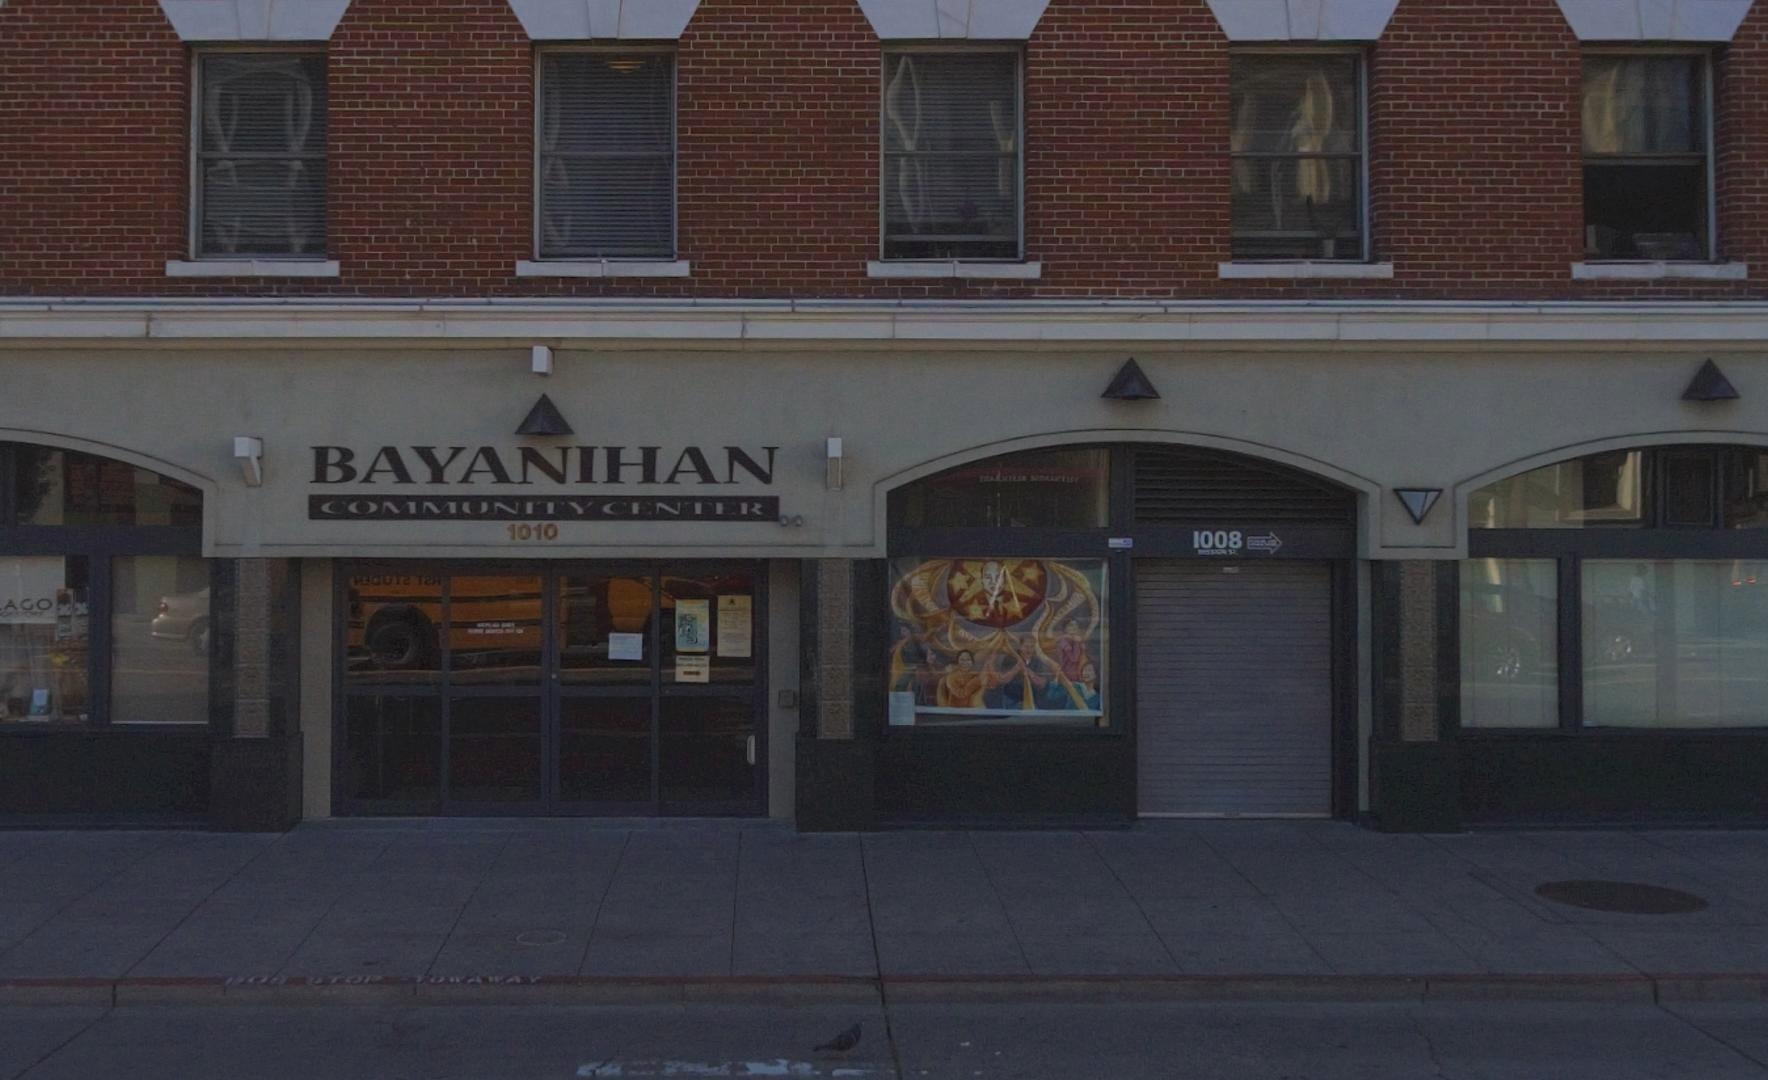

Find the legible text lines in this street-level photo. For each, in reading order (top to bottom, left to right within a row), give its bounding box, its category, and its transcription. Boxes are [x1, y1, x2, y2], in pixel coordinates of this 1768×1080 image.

[306, 443, 781, 487] BusinessName: BAYANIHAN
[318, 497, 765, 517] BusinessName: COMMUNITY CENTER
[506, 523, 559, 541] StreetNumber: 1010
[1192, 530, 1243, 549] StreetNumber: 1008
[1196, 549, 1240, 556] StreetName: MISSION ST.
[2, 597, 54, 612] None: AGO